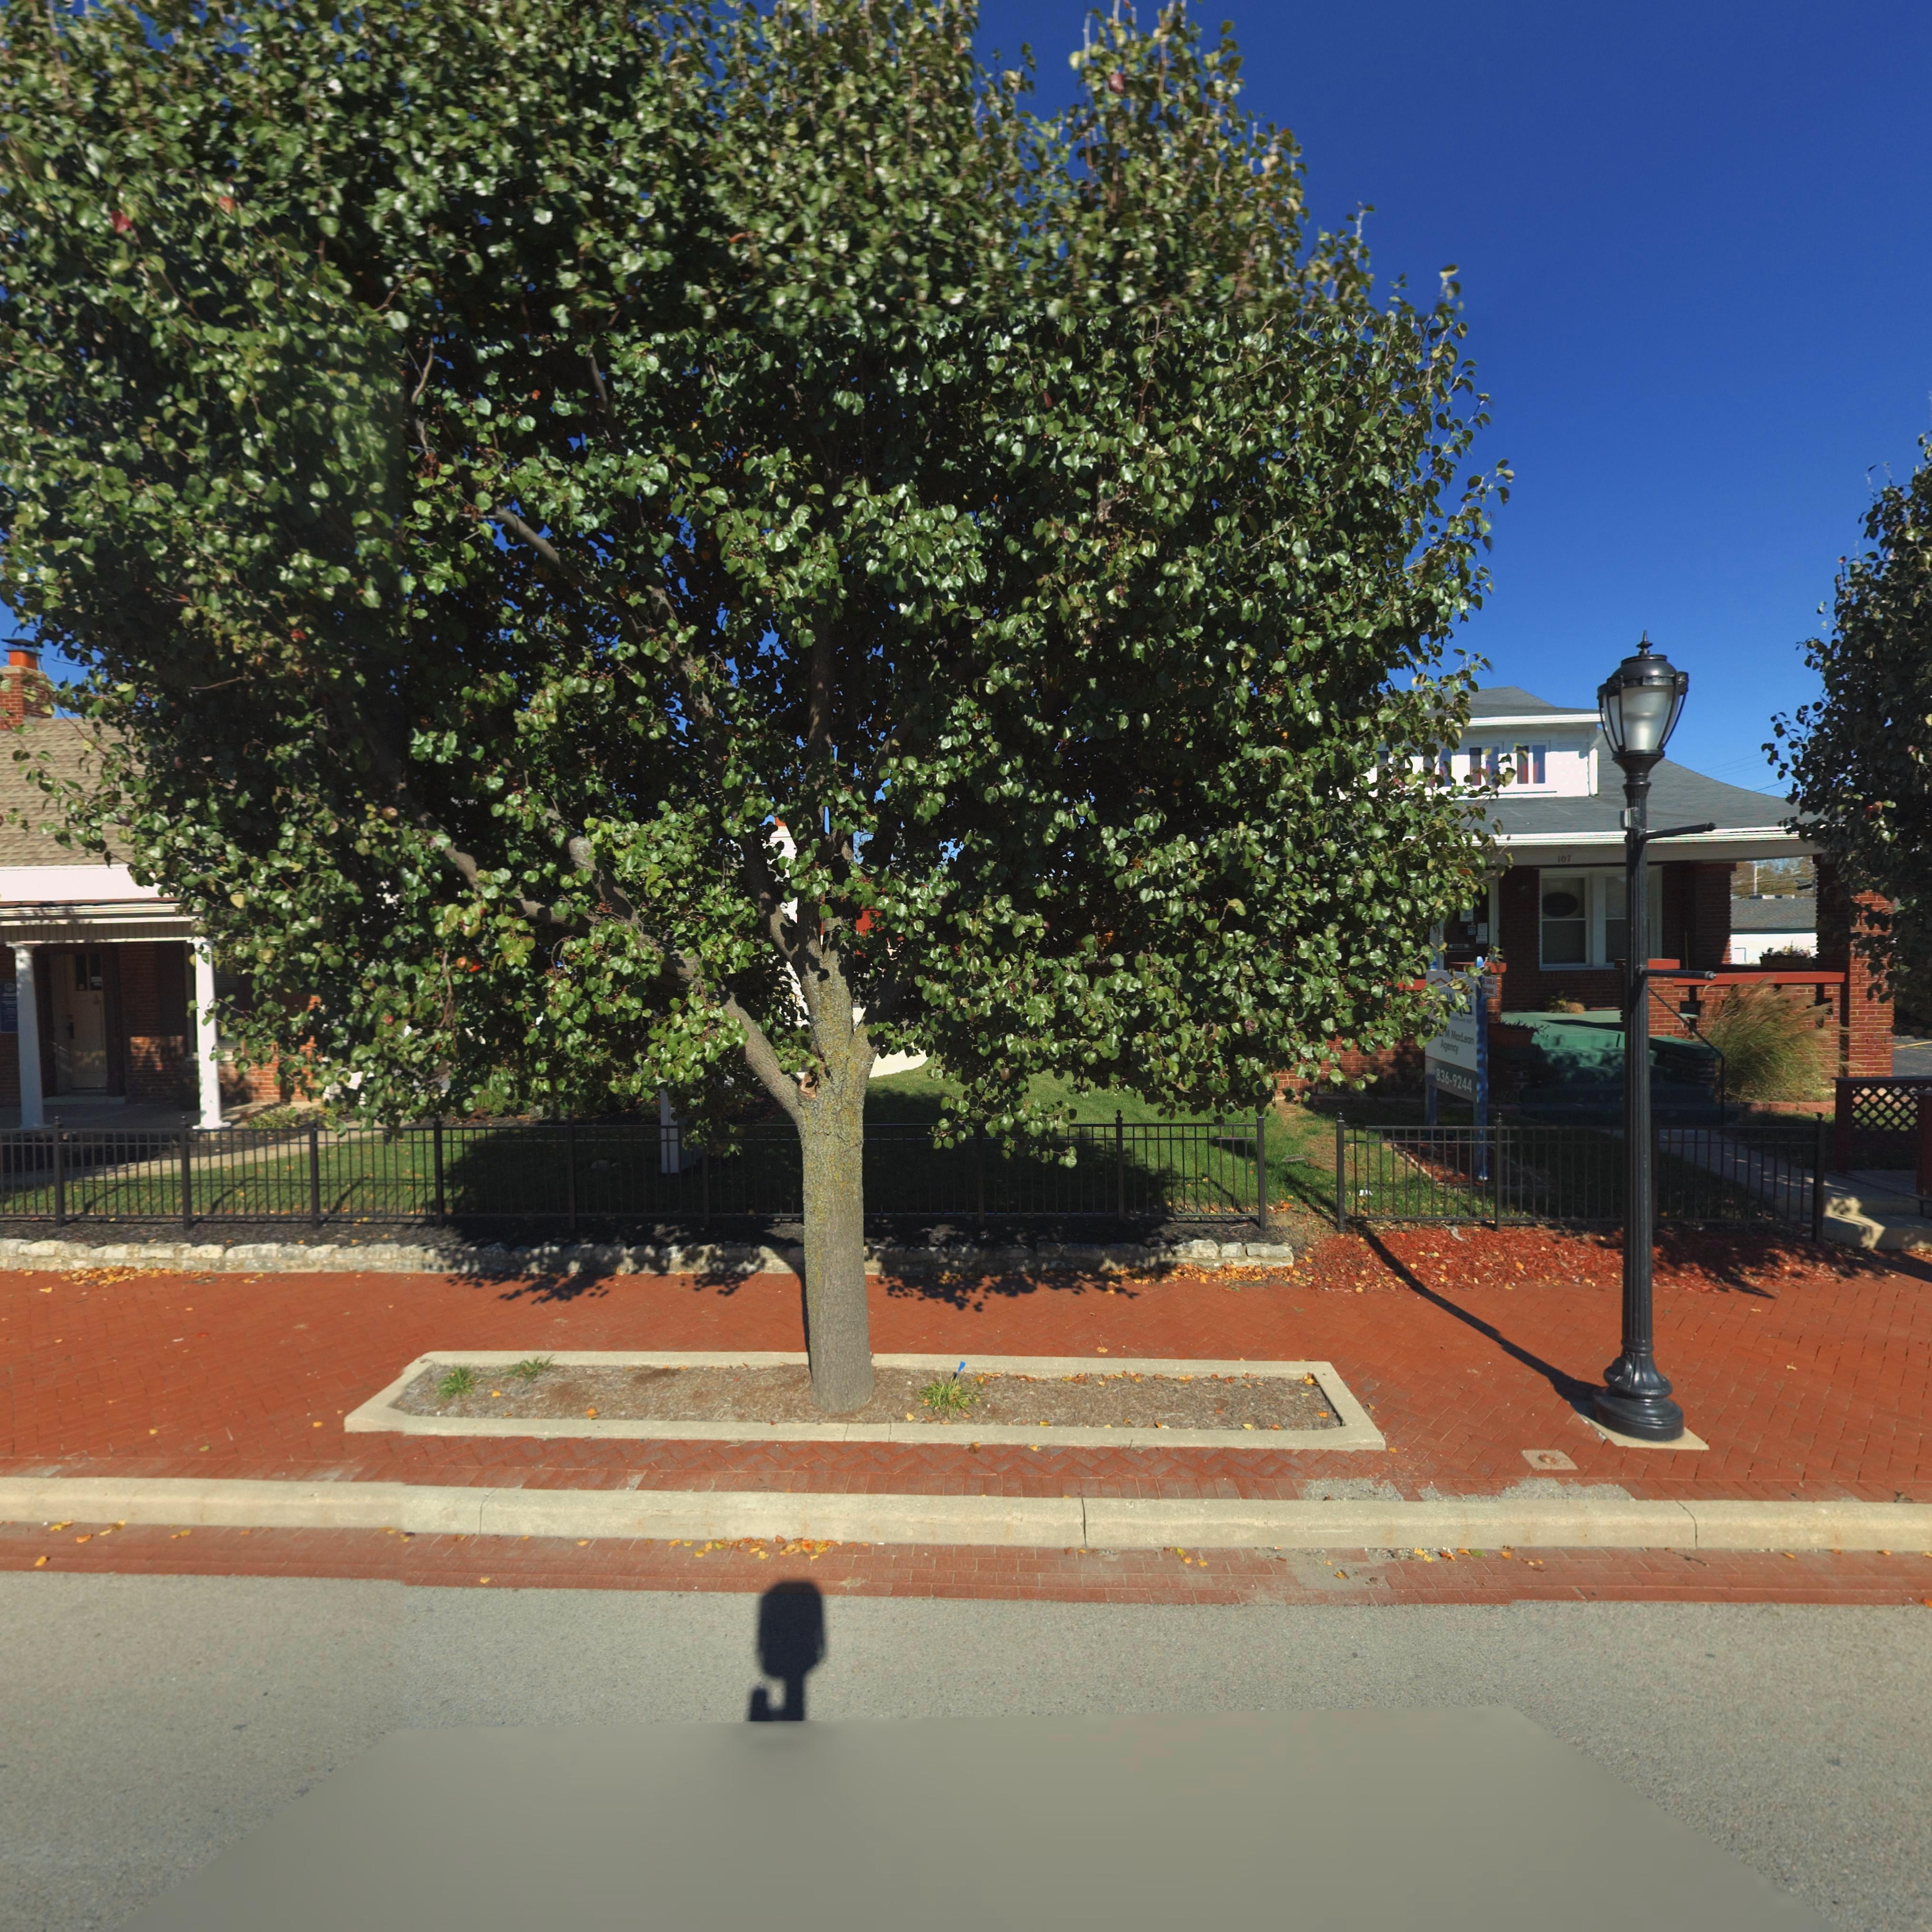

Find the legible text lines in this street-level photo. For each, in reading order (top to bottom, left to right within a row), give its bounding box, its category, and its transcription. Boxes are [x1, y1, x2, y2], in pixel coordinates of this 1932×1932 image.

[1557, 854, 1571, 862] StreetNumber: 107